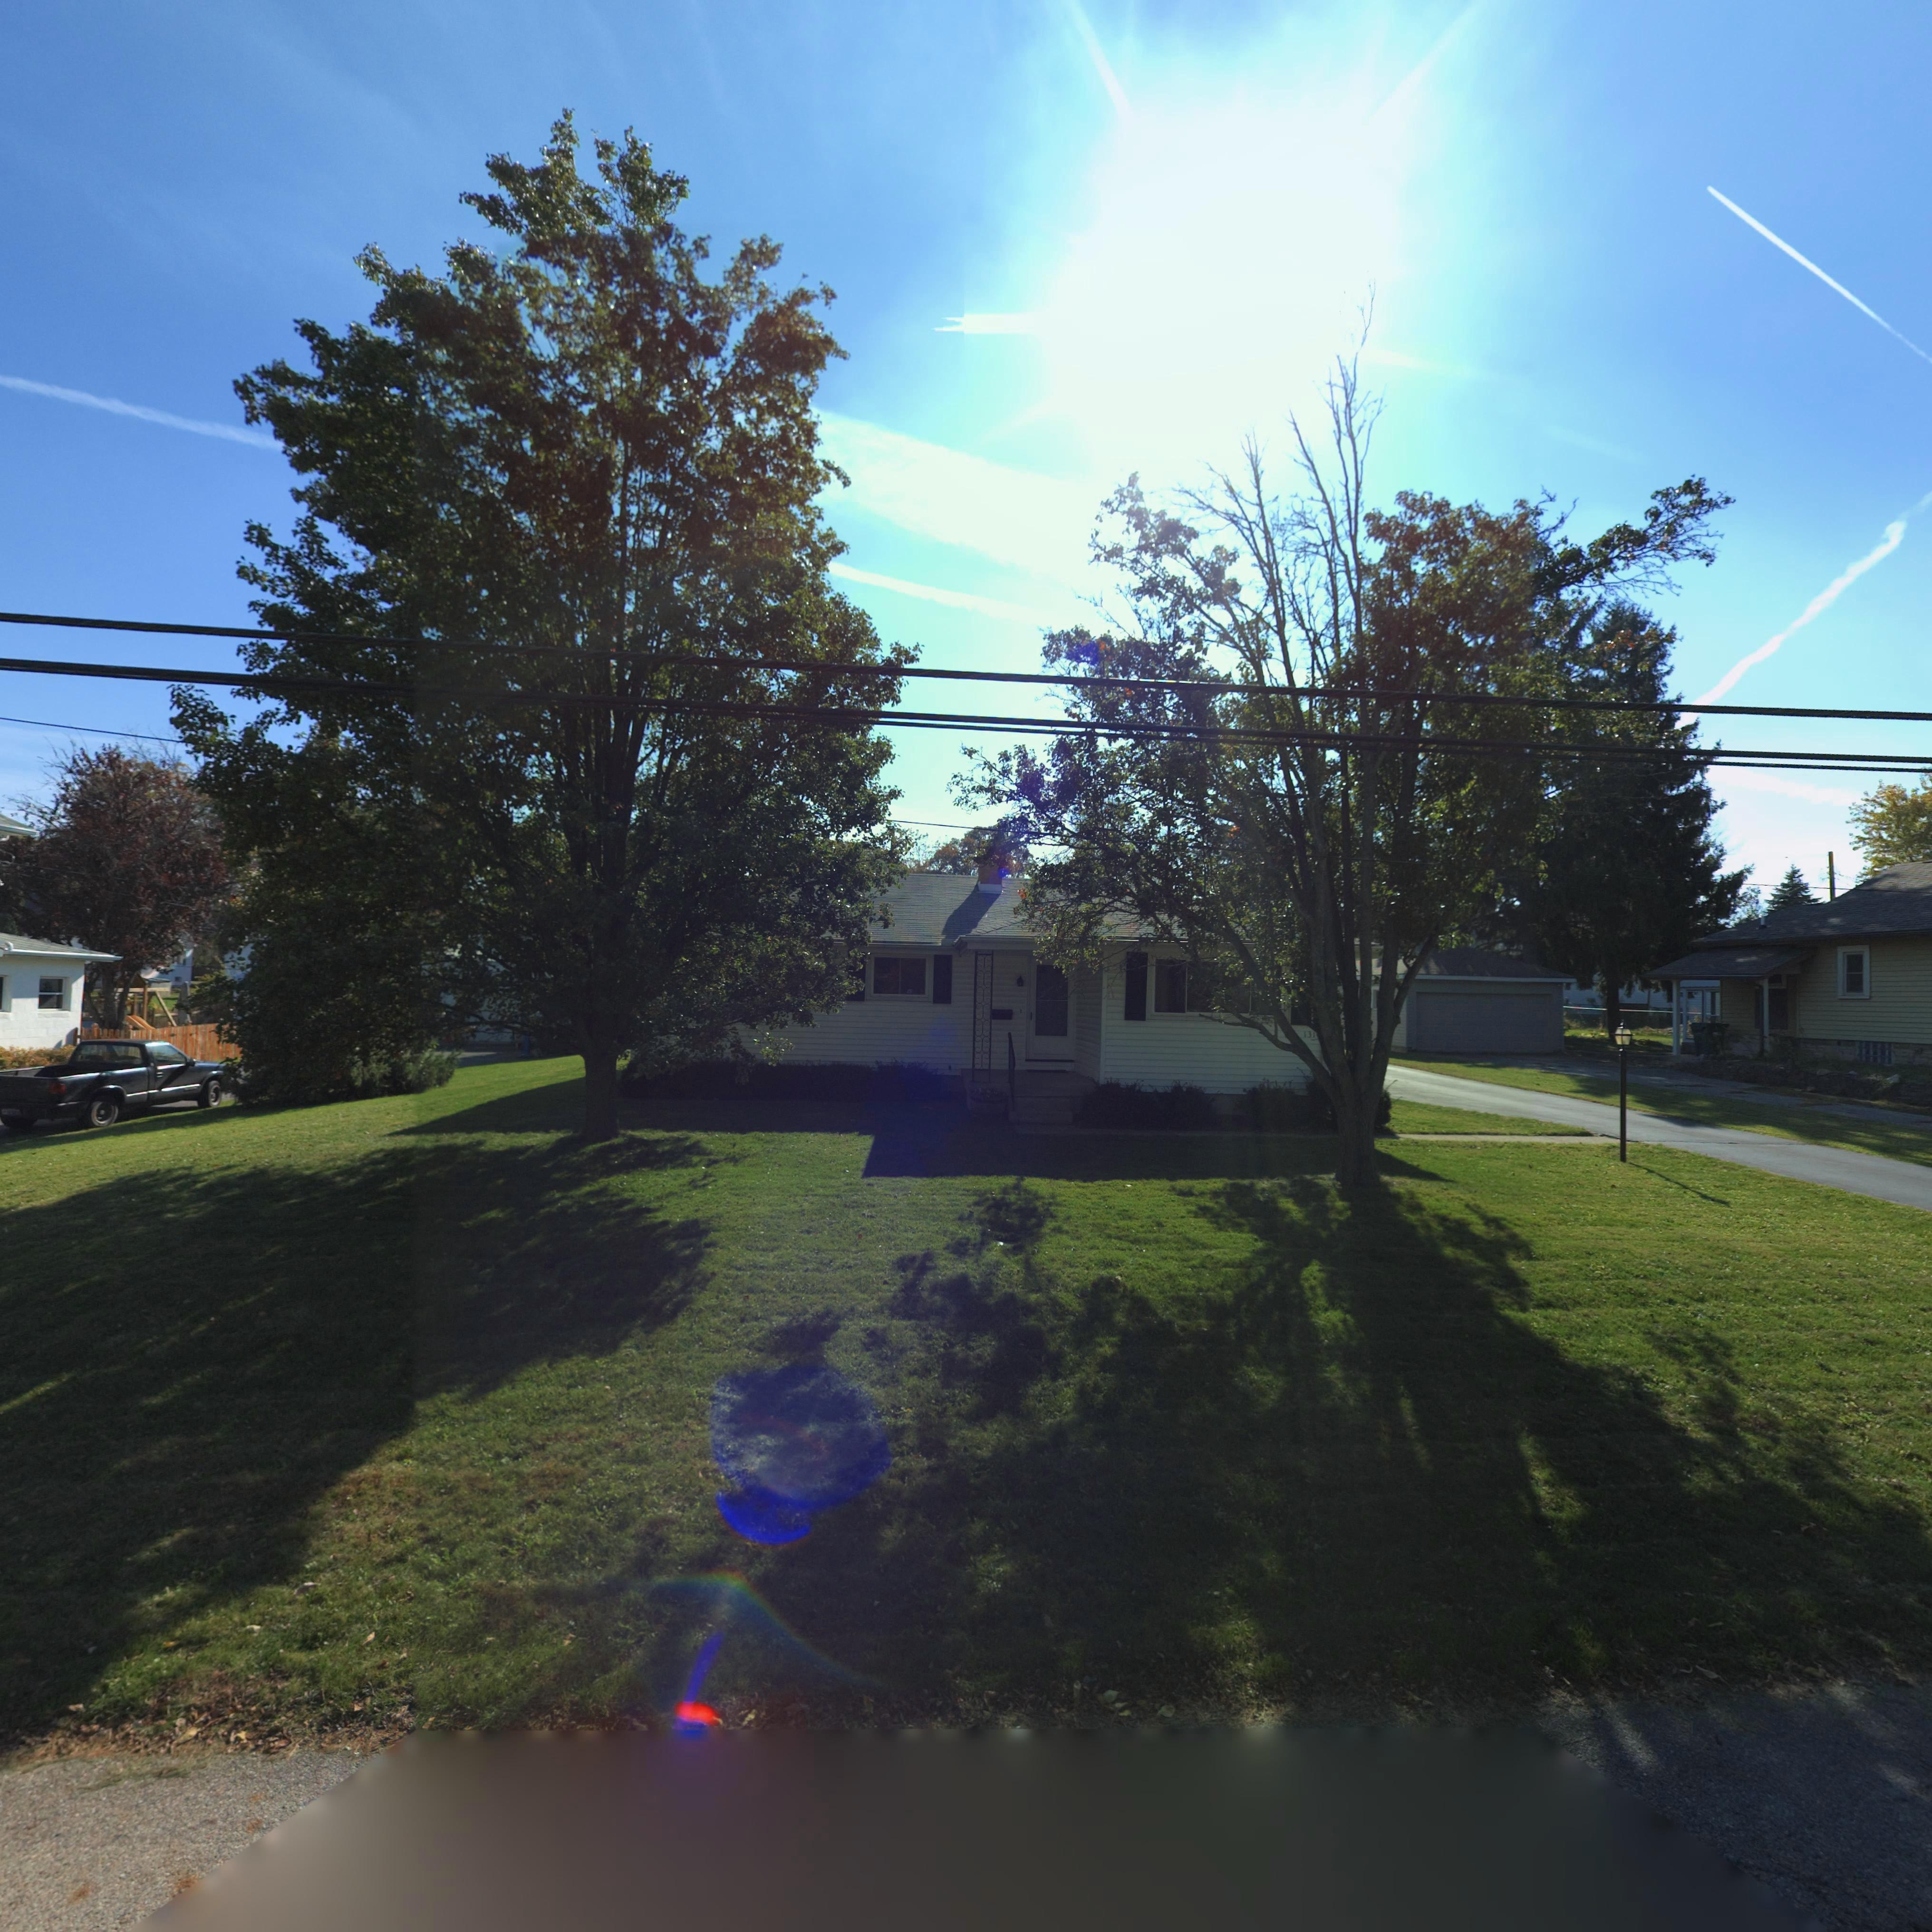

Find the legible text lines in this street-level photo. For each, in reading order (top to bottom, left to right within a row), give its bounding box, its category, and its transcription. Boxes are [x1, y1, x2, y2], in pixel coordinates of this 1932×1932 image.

[1303, 1030, 1315, 1038] StreetNumber: 131